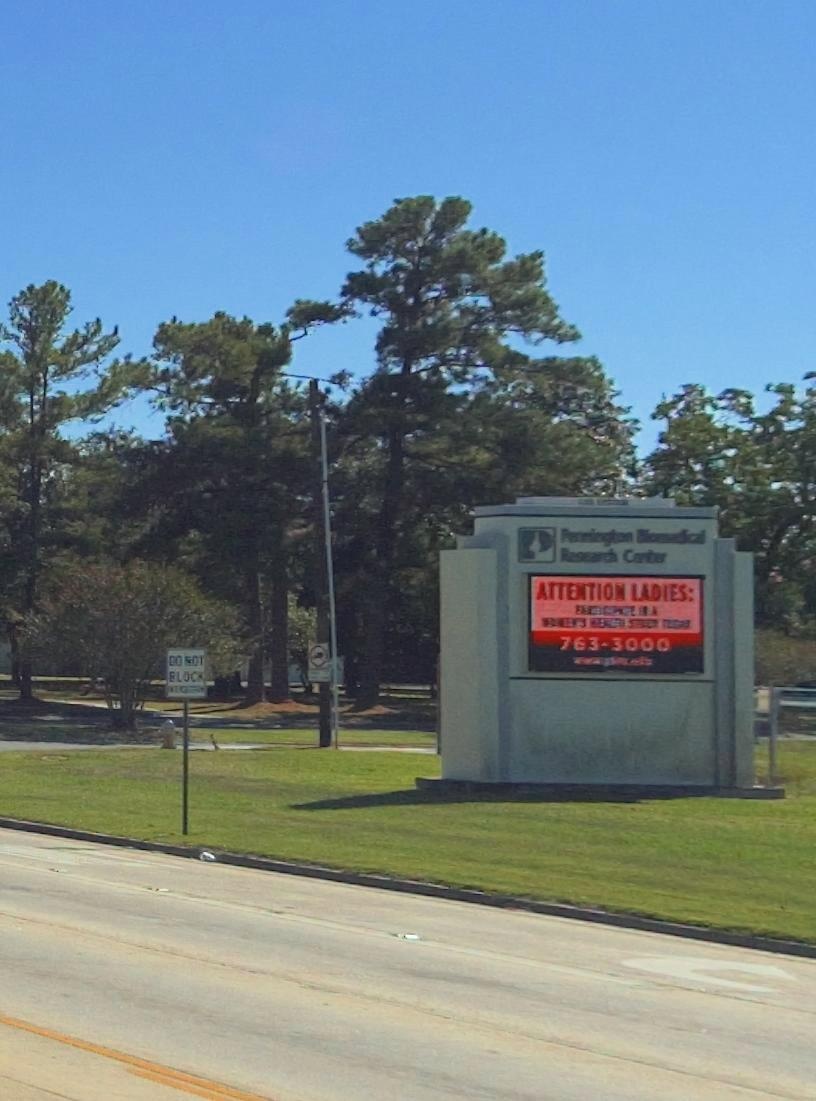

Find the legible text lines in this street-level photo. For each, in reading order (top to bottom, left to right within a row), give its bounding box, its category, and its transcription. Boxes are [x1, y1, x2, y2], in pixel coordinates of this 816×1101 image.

[559, 523, 709, 548] BusinessName: Pennington Biomedical
[559, 546, 669, 566] BusinessName: Research Center
[534, 579, 696, 604] None: ATTENTION LADIES:
[558, 635, 671, 653] None: 763-3000
[168, 653, 205, 668] None: DO NOT
[167, 669, 205, 684] None: BLOCK